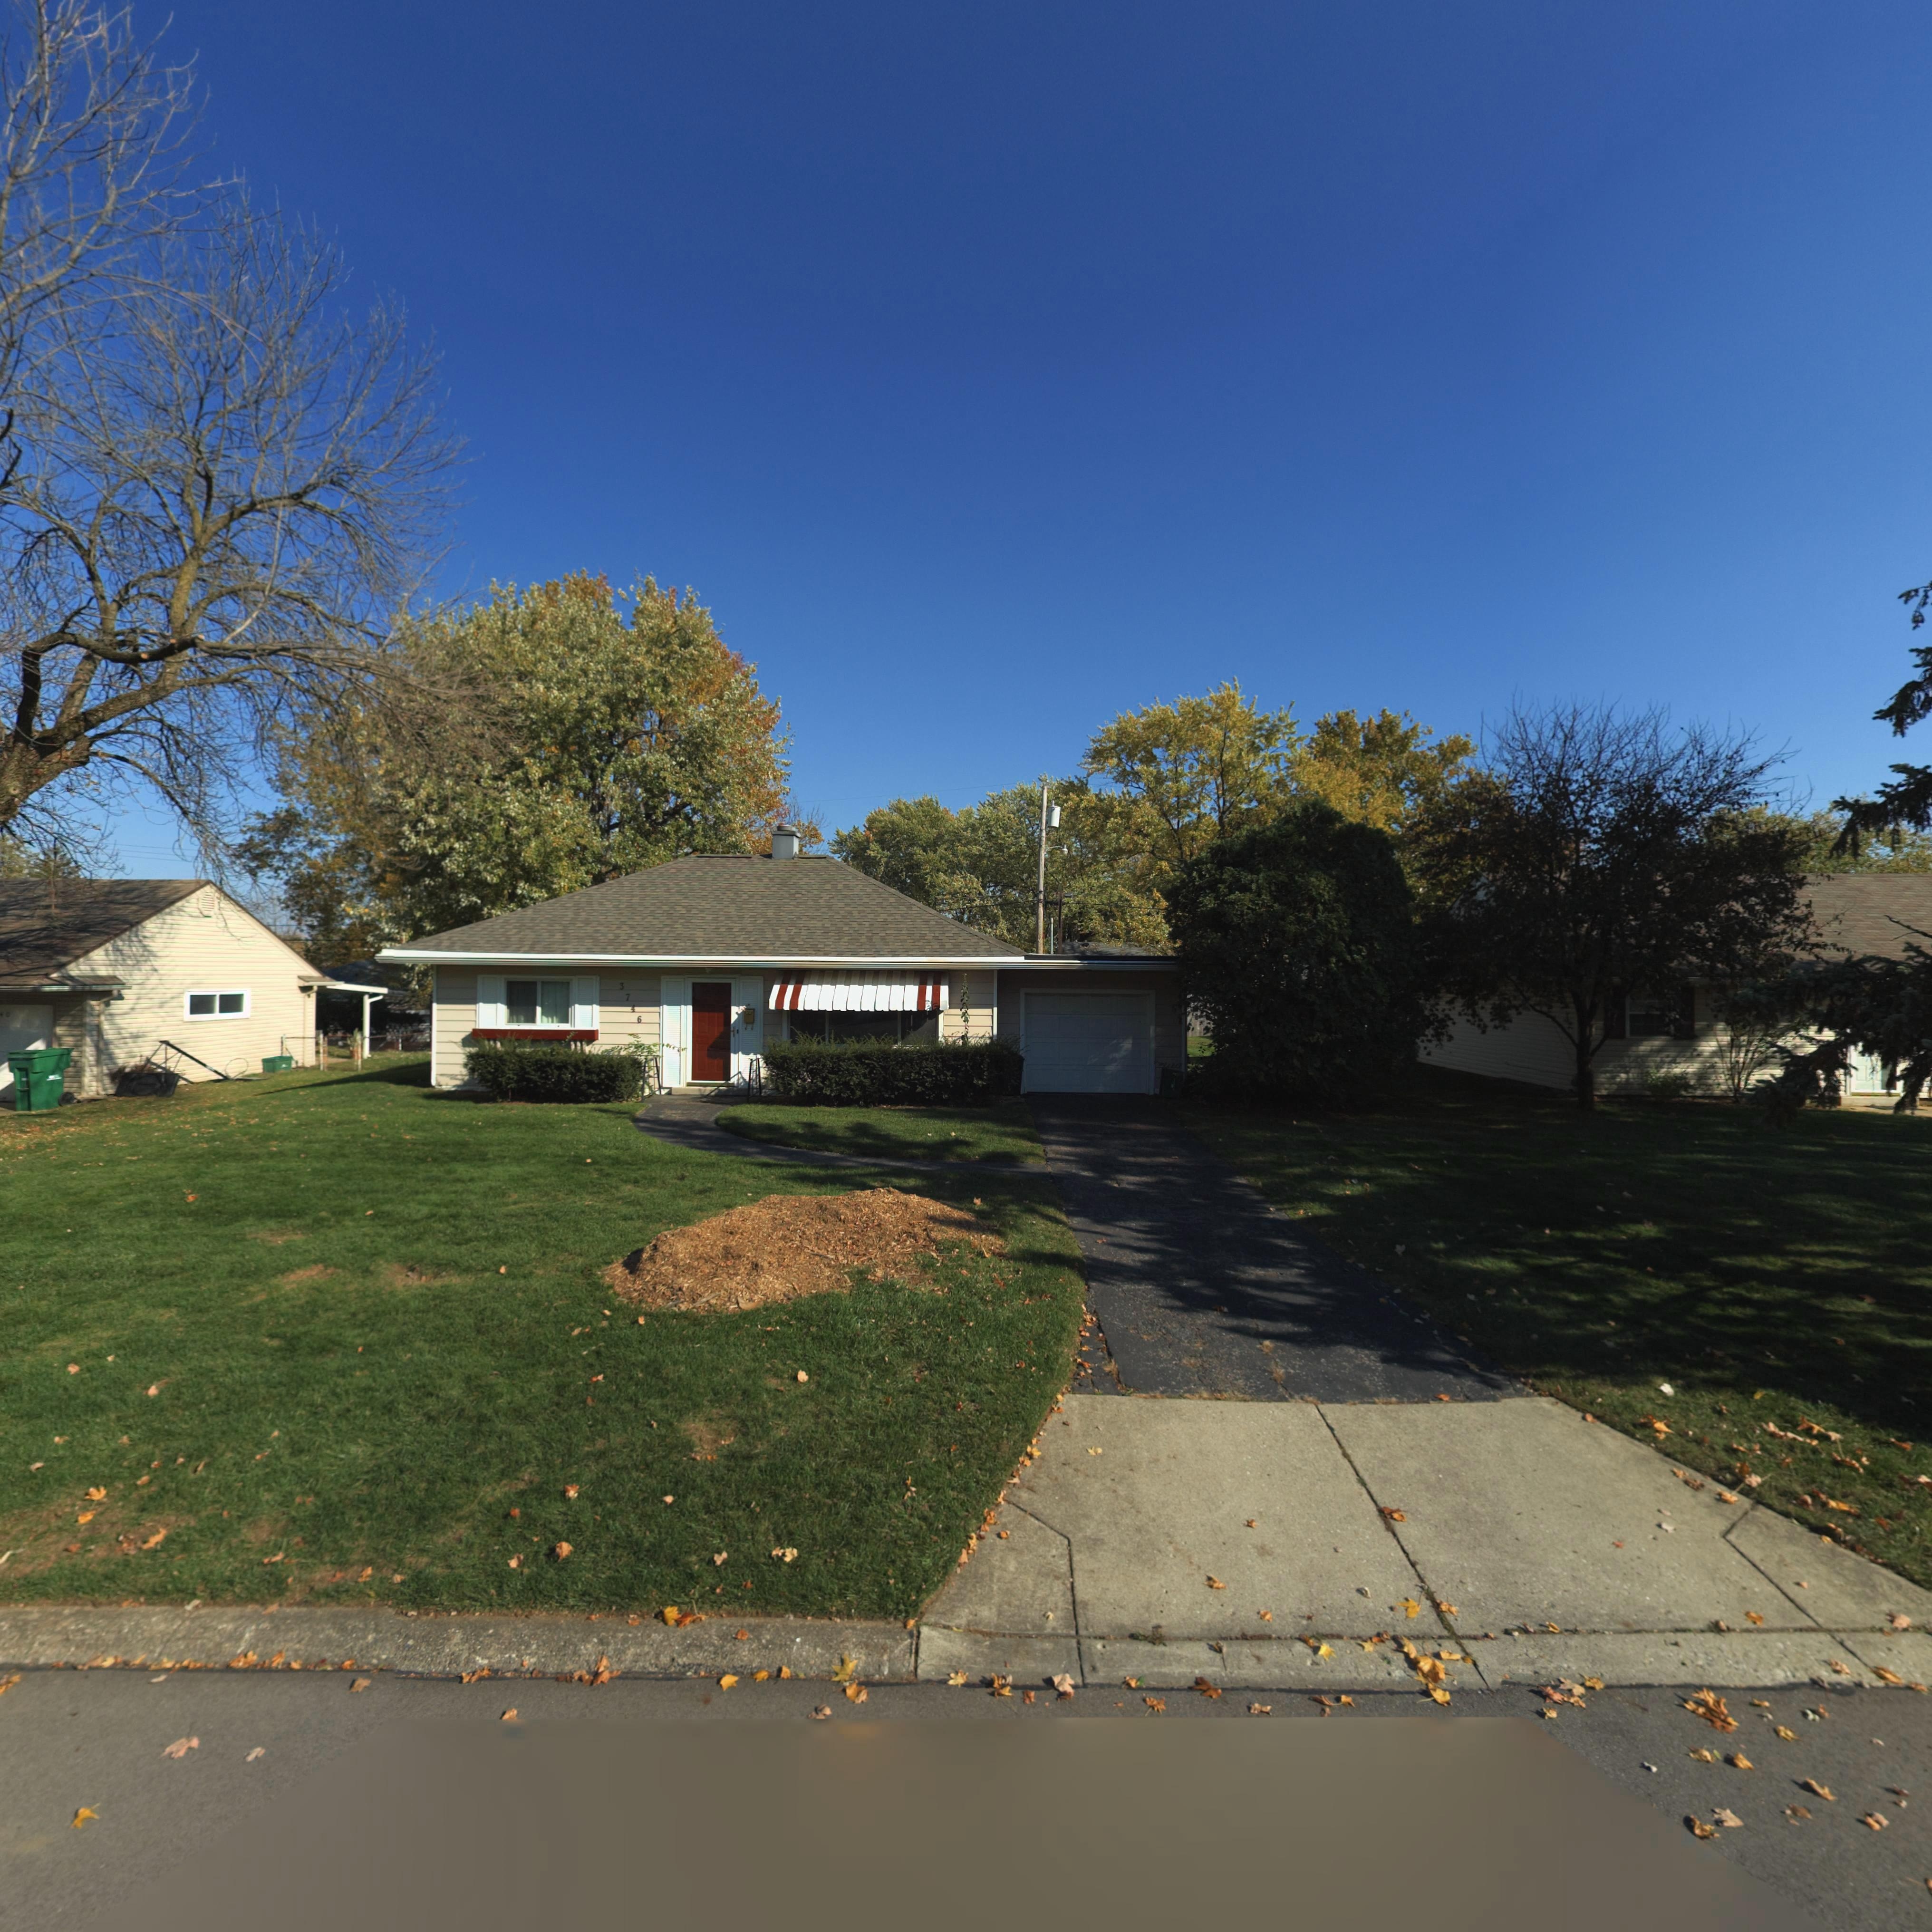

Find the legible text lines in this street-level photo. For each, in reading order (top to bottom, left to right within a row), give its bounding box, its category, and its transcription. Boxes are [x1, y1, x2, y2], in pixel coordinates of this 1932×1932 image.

[618, 981, 643, 1025] StreetNumber: 3746